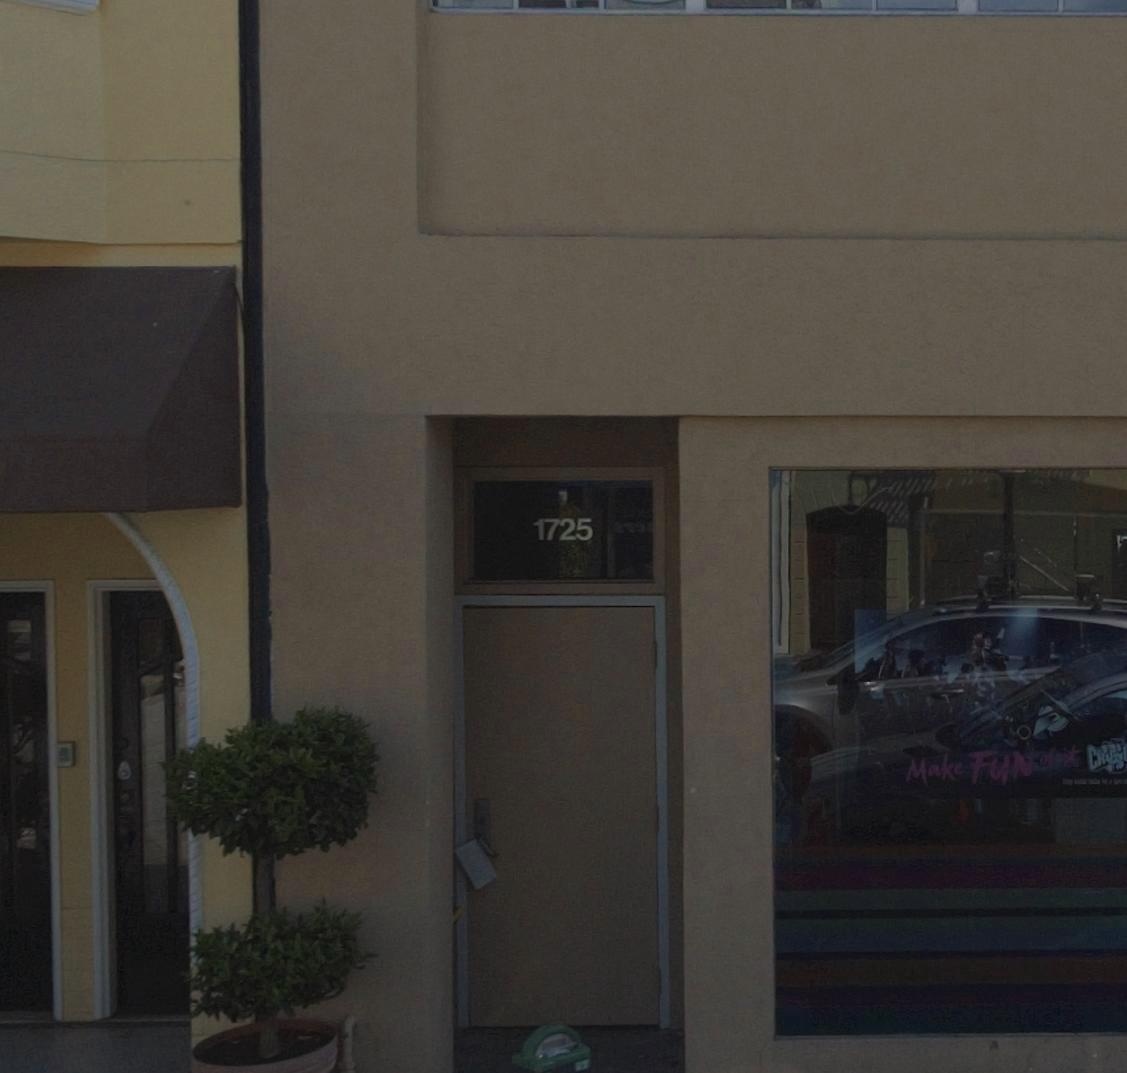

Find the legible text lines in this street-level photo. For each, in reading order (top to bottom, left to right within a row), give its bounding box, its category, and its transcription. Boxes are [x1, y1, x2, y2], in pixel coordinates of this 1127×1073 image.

[533, 517, 594, 542] StreetNumber: 1725
[903, 739, 1081, 787] None: Make FUN of it
[1085, 744, 1107, 772] None: CR